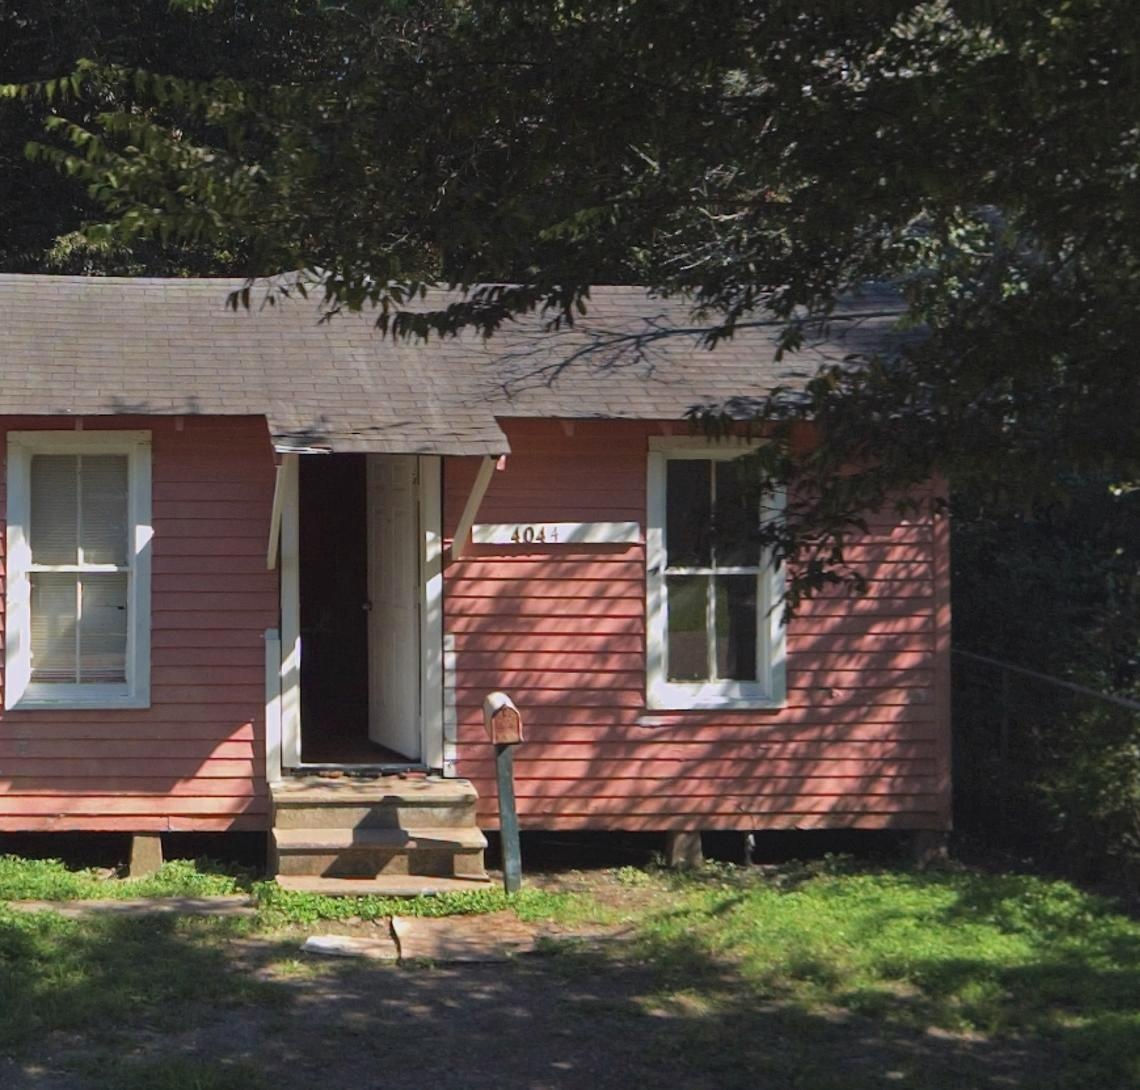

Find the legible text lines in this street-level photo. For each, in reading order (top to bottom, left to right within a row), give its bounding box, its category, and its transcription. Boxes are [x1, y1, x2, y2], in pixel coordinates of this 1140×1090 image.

[510, 525, 560, 544] StreetNumber: 4044